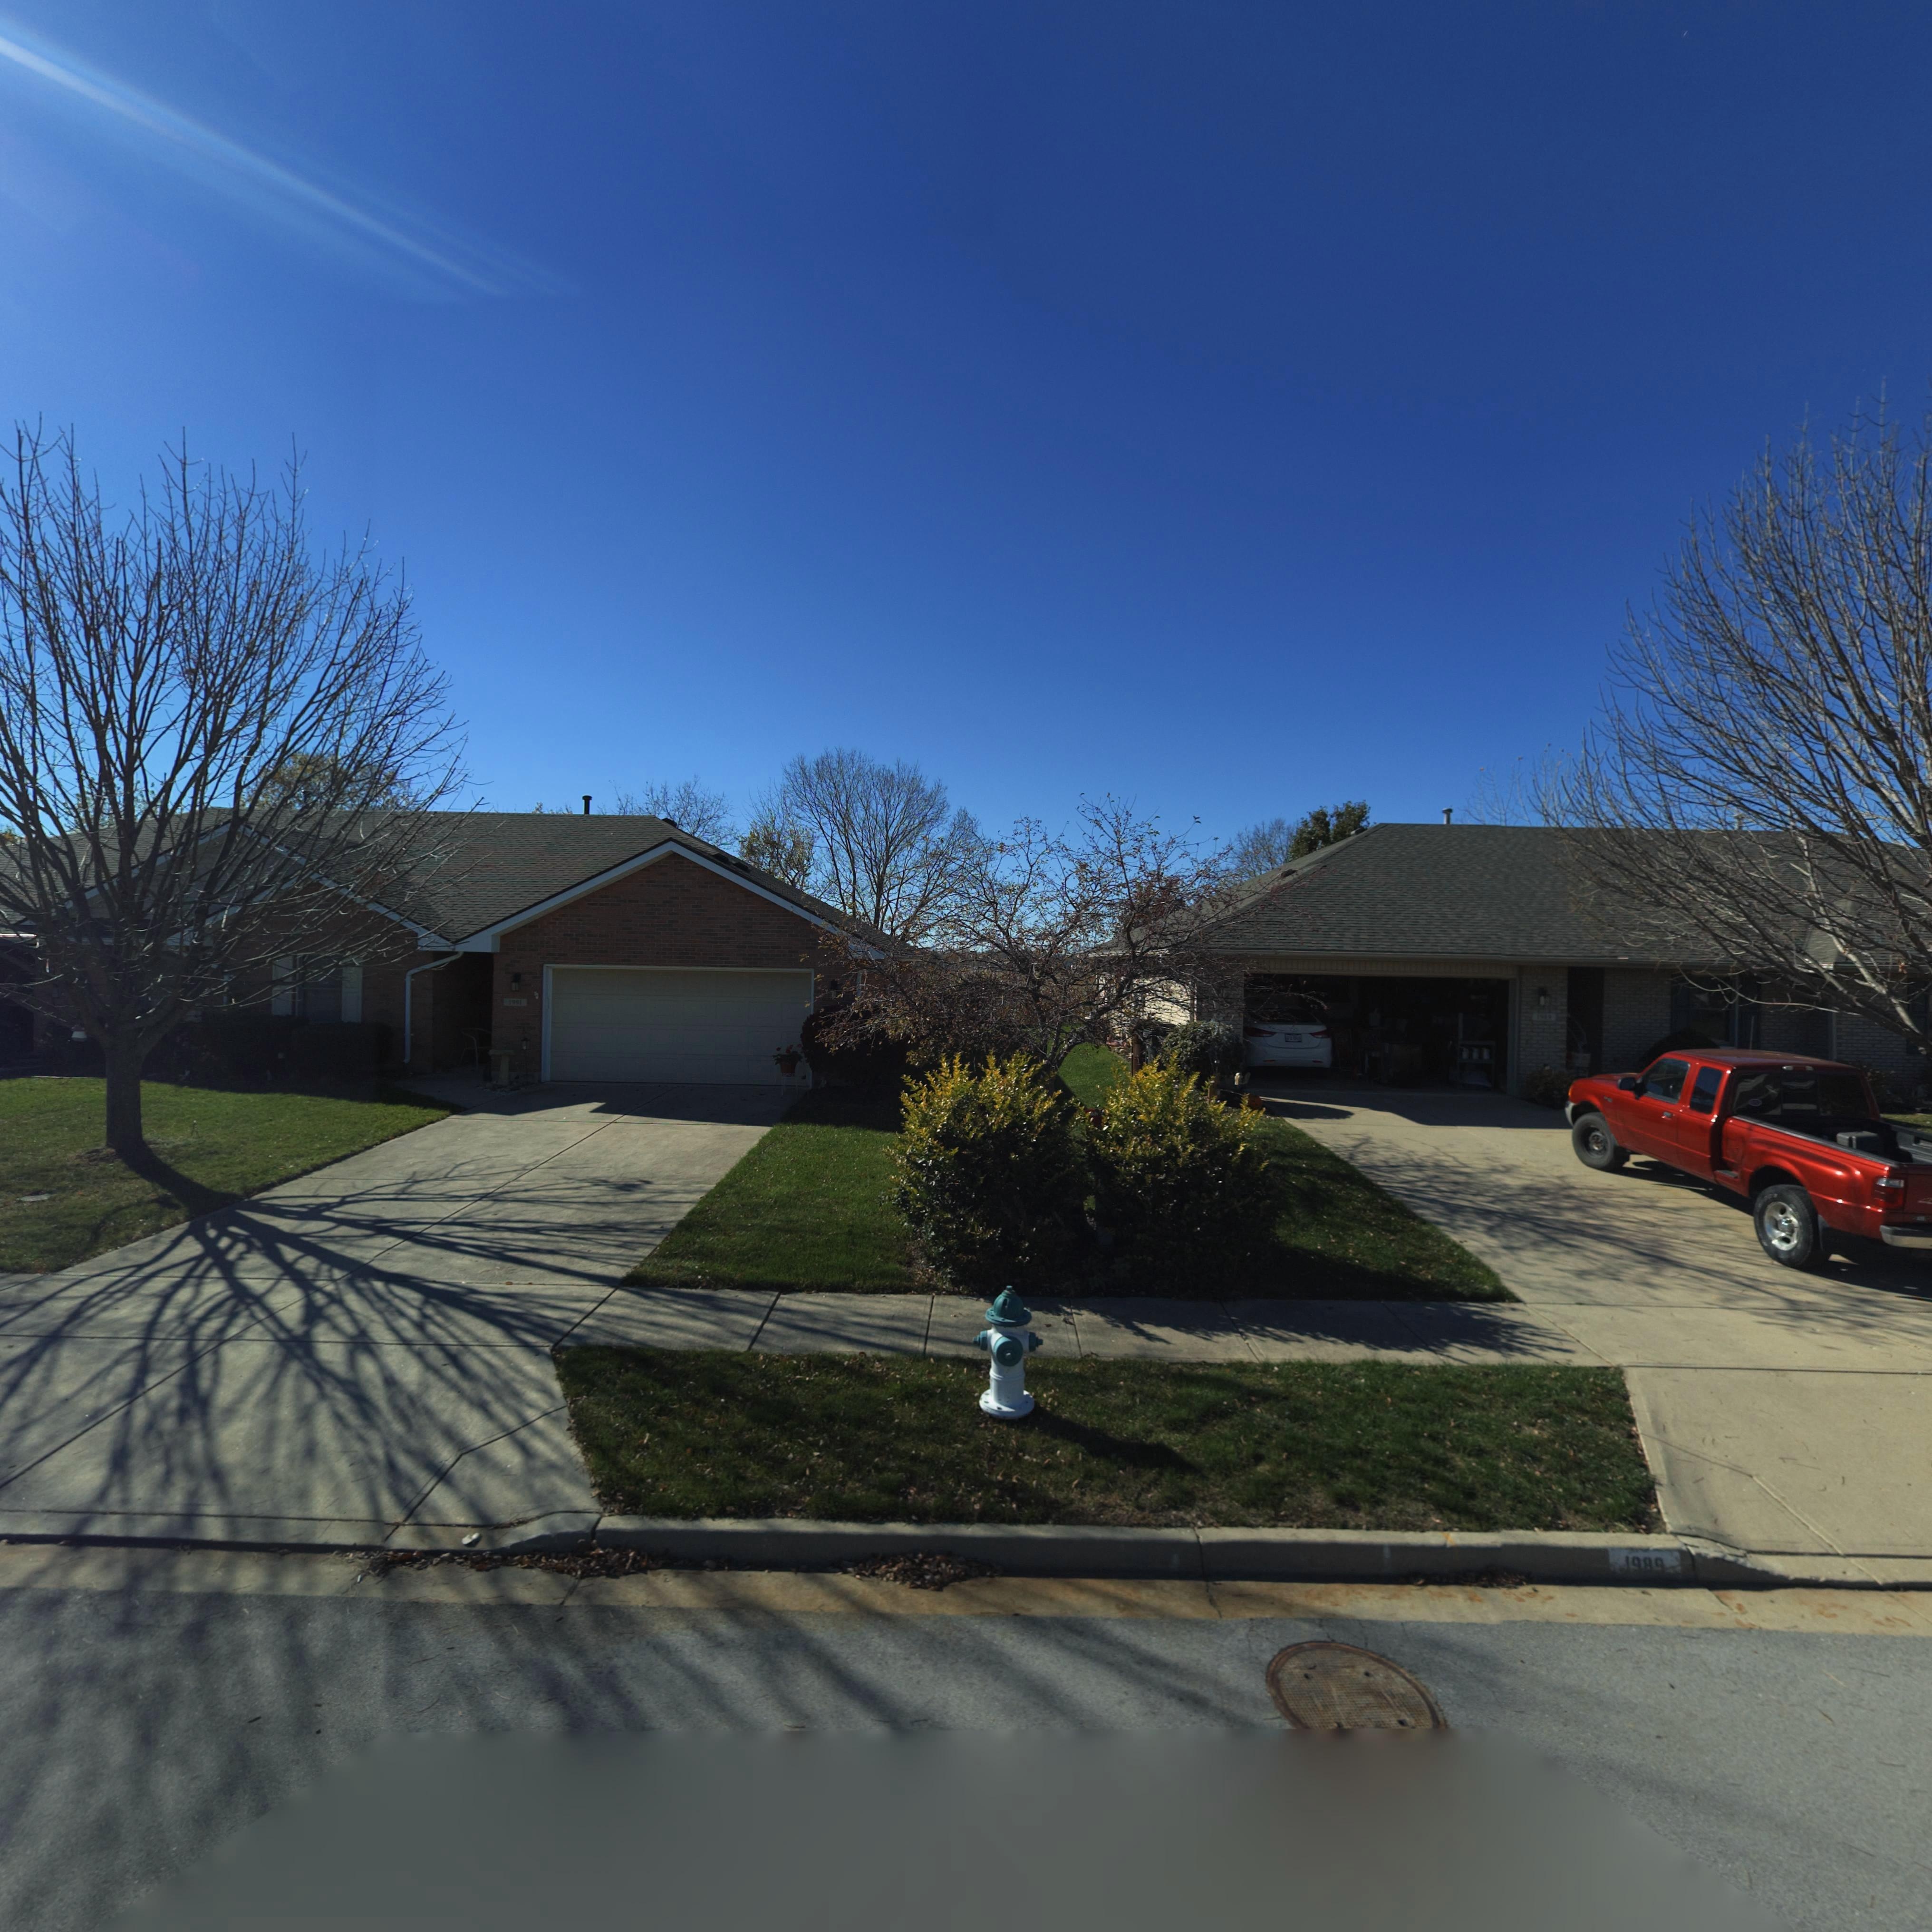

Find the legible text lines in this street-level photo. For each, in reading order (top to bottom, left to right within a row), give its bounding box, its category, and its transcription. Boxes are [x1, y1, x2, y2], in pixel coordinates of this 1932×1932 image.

[508, 999, 522, 1006] StreetNumber: 1991
[1623, 1554, 1668, 1574] StreetNumber: 1989